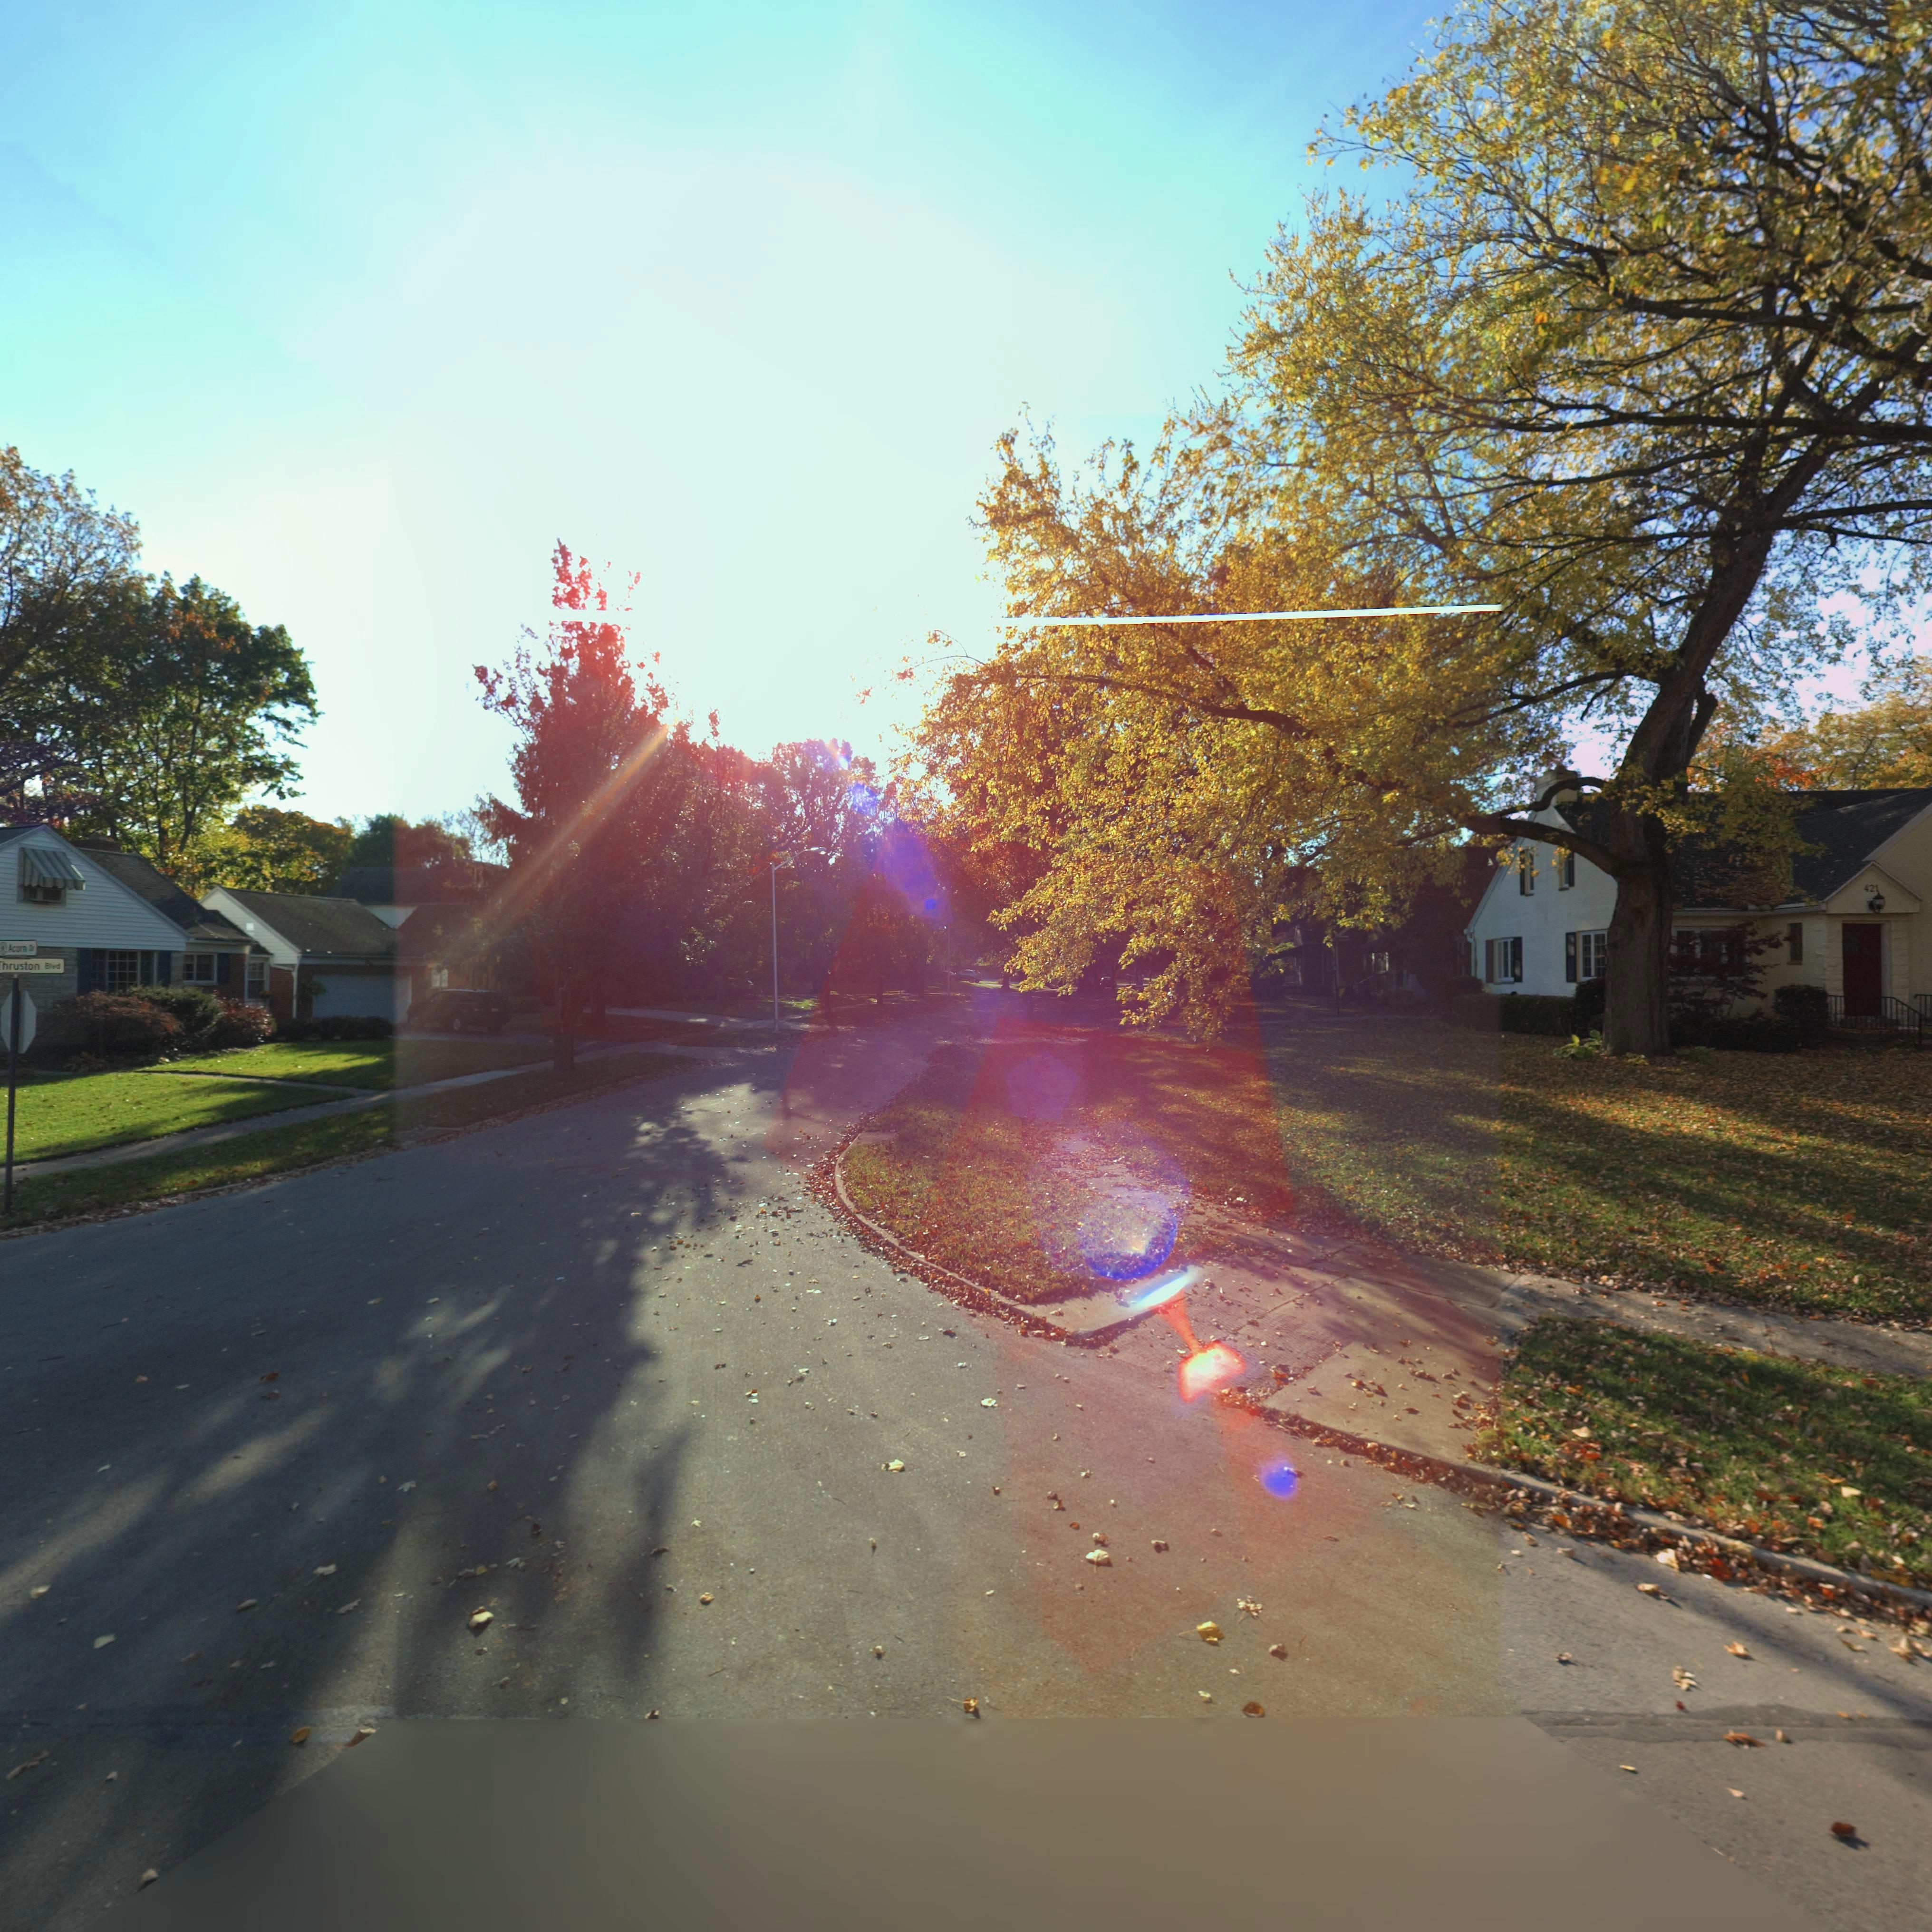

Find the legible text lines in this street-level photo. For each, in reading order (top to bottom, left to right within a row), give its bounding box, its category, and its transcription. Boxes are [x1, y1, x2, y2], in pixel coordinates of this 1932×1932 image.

[1863, 884, 1879, 893] StreetNumber: 421
[7, 943, 37, 954] StreetName: Acorn Dr
[2, 961, 61, 971] StreetName: hruston Blvd